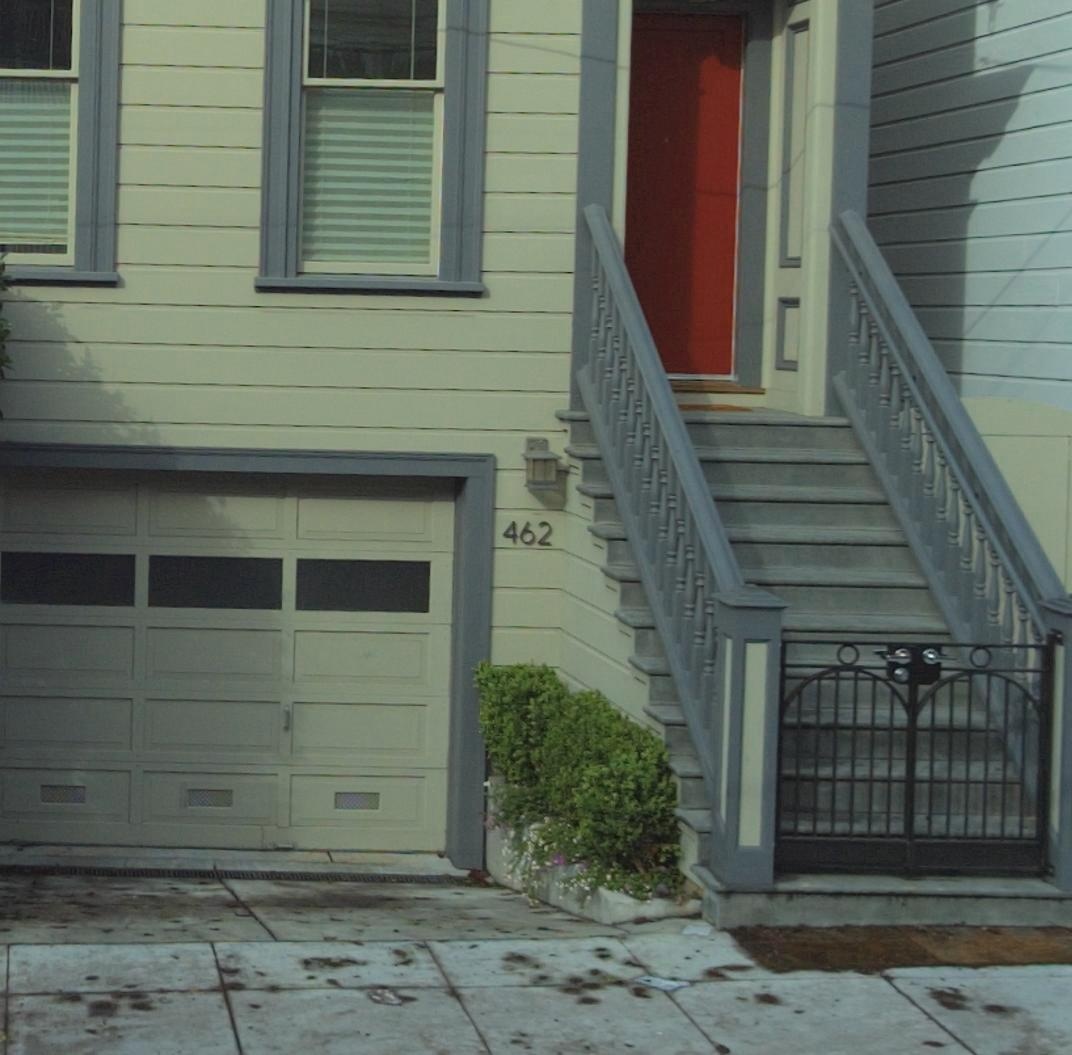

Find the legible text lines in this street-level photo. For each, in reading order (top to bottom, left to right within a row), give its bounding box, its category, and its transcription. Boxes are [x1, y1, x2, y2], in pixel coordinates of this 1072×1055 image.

[500, 519, 553, 547] StreetNumber: 462